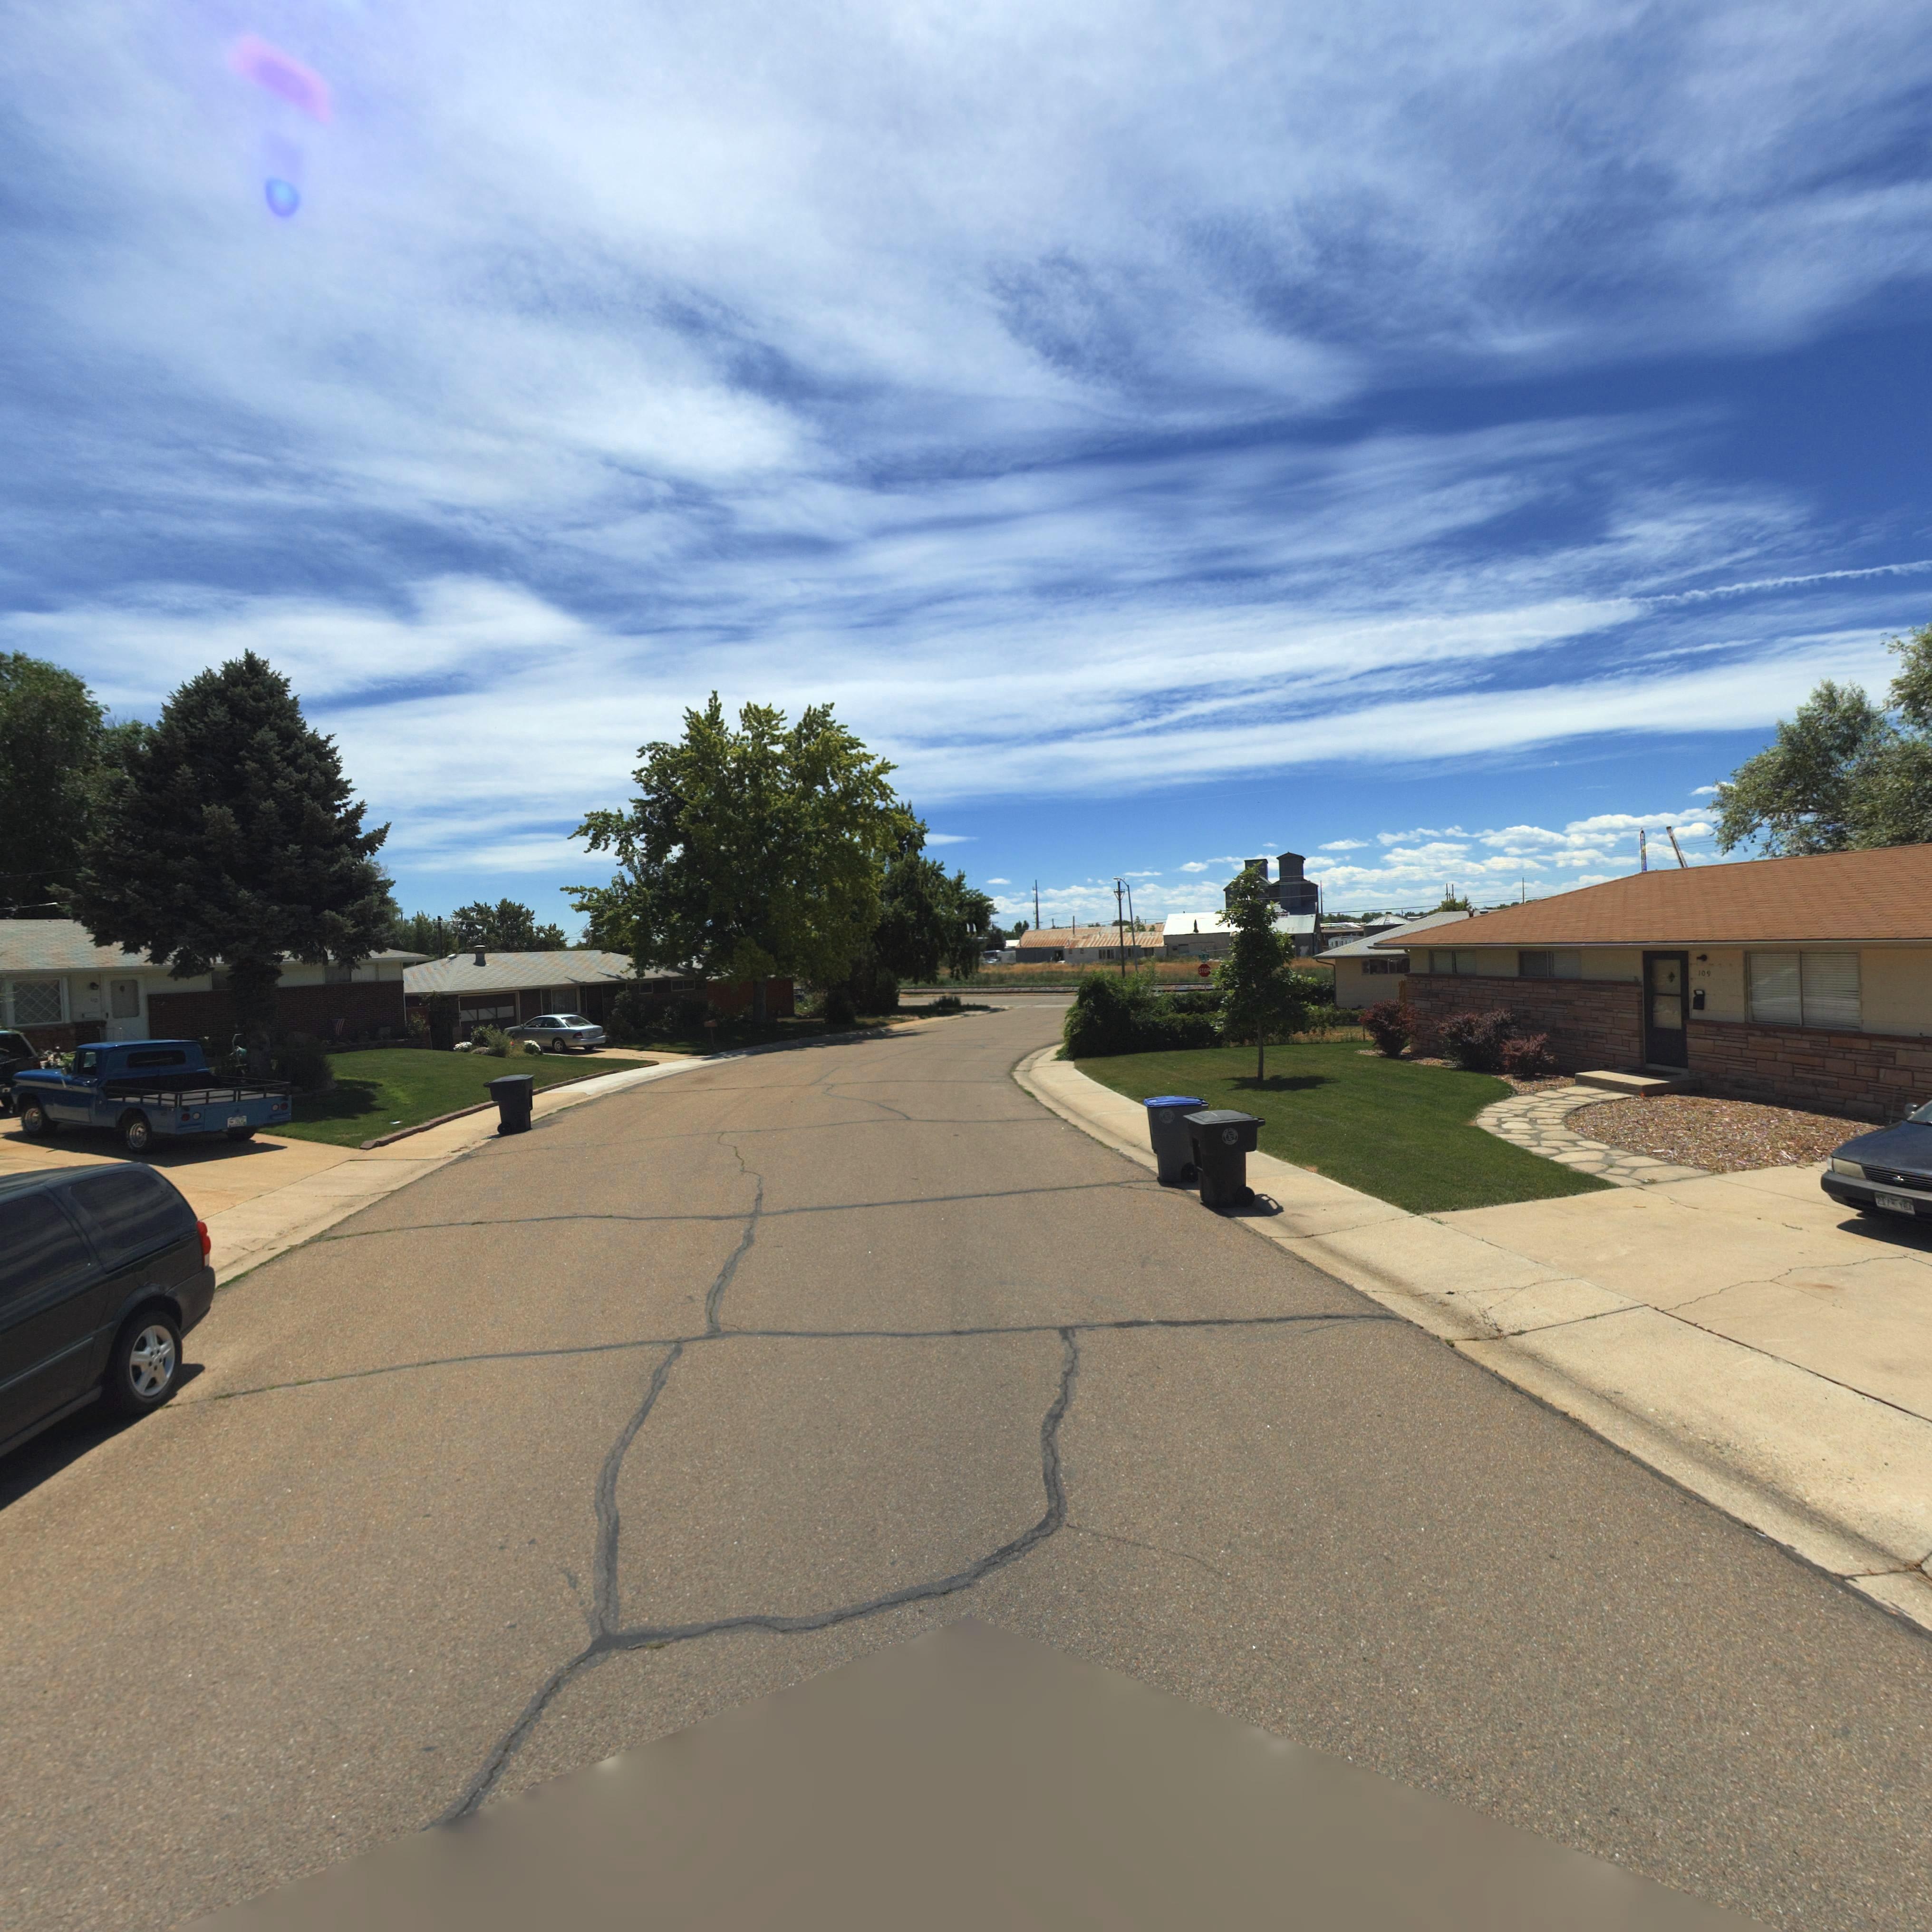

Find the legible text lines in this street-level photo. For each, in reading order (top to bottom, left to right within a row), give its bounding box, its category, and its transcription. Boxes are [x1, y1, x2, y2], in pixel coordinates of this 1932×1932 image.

[1698, 969, 1711, 977] StreetNumber: 109